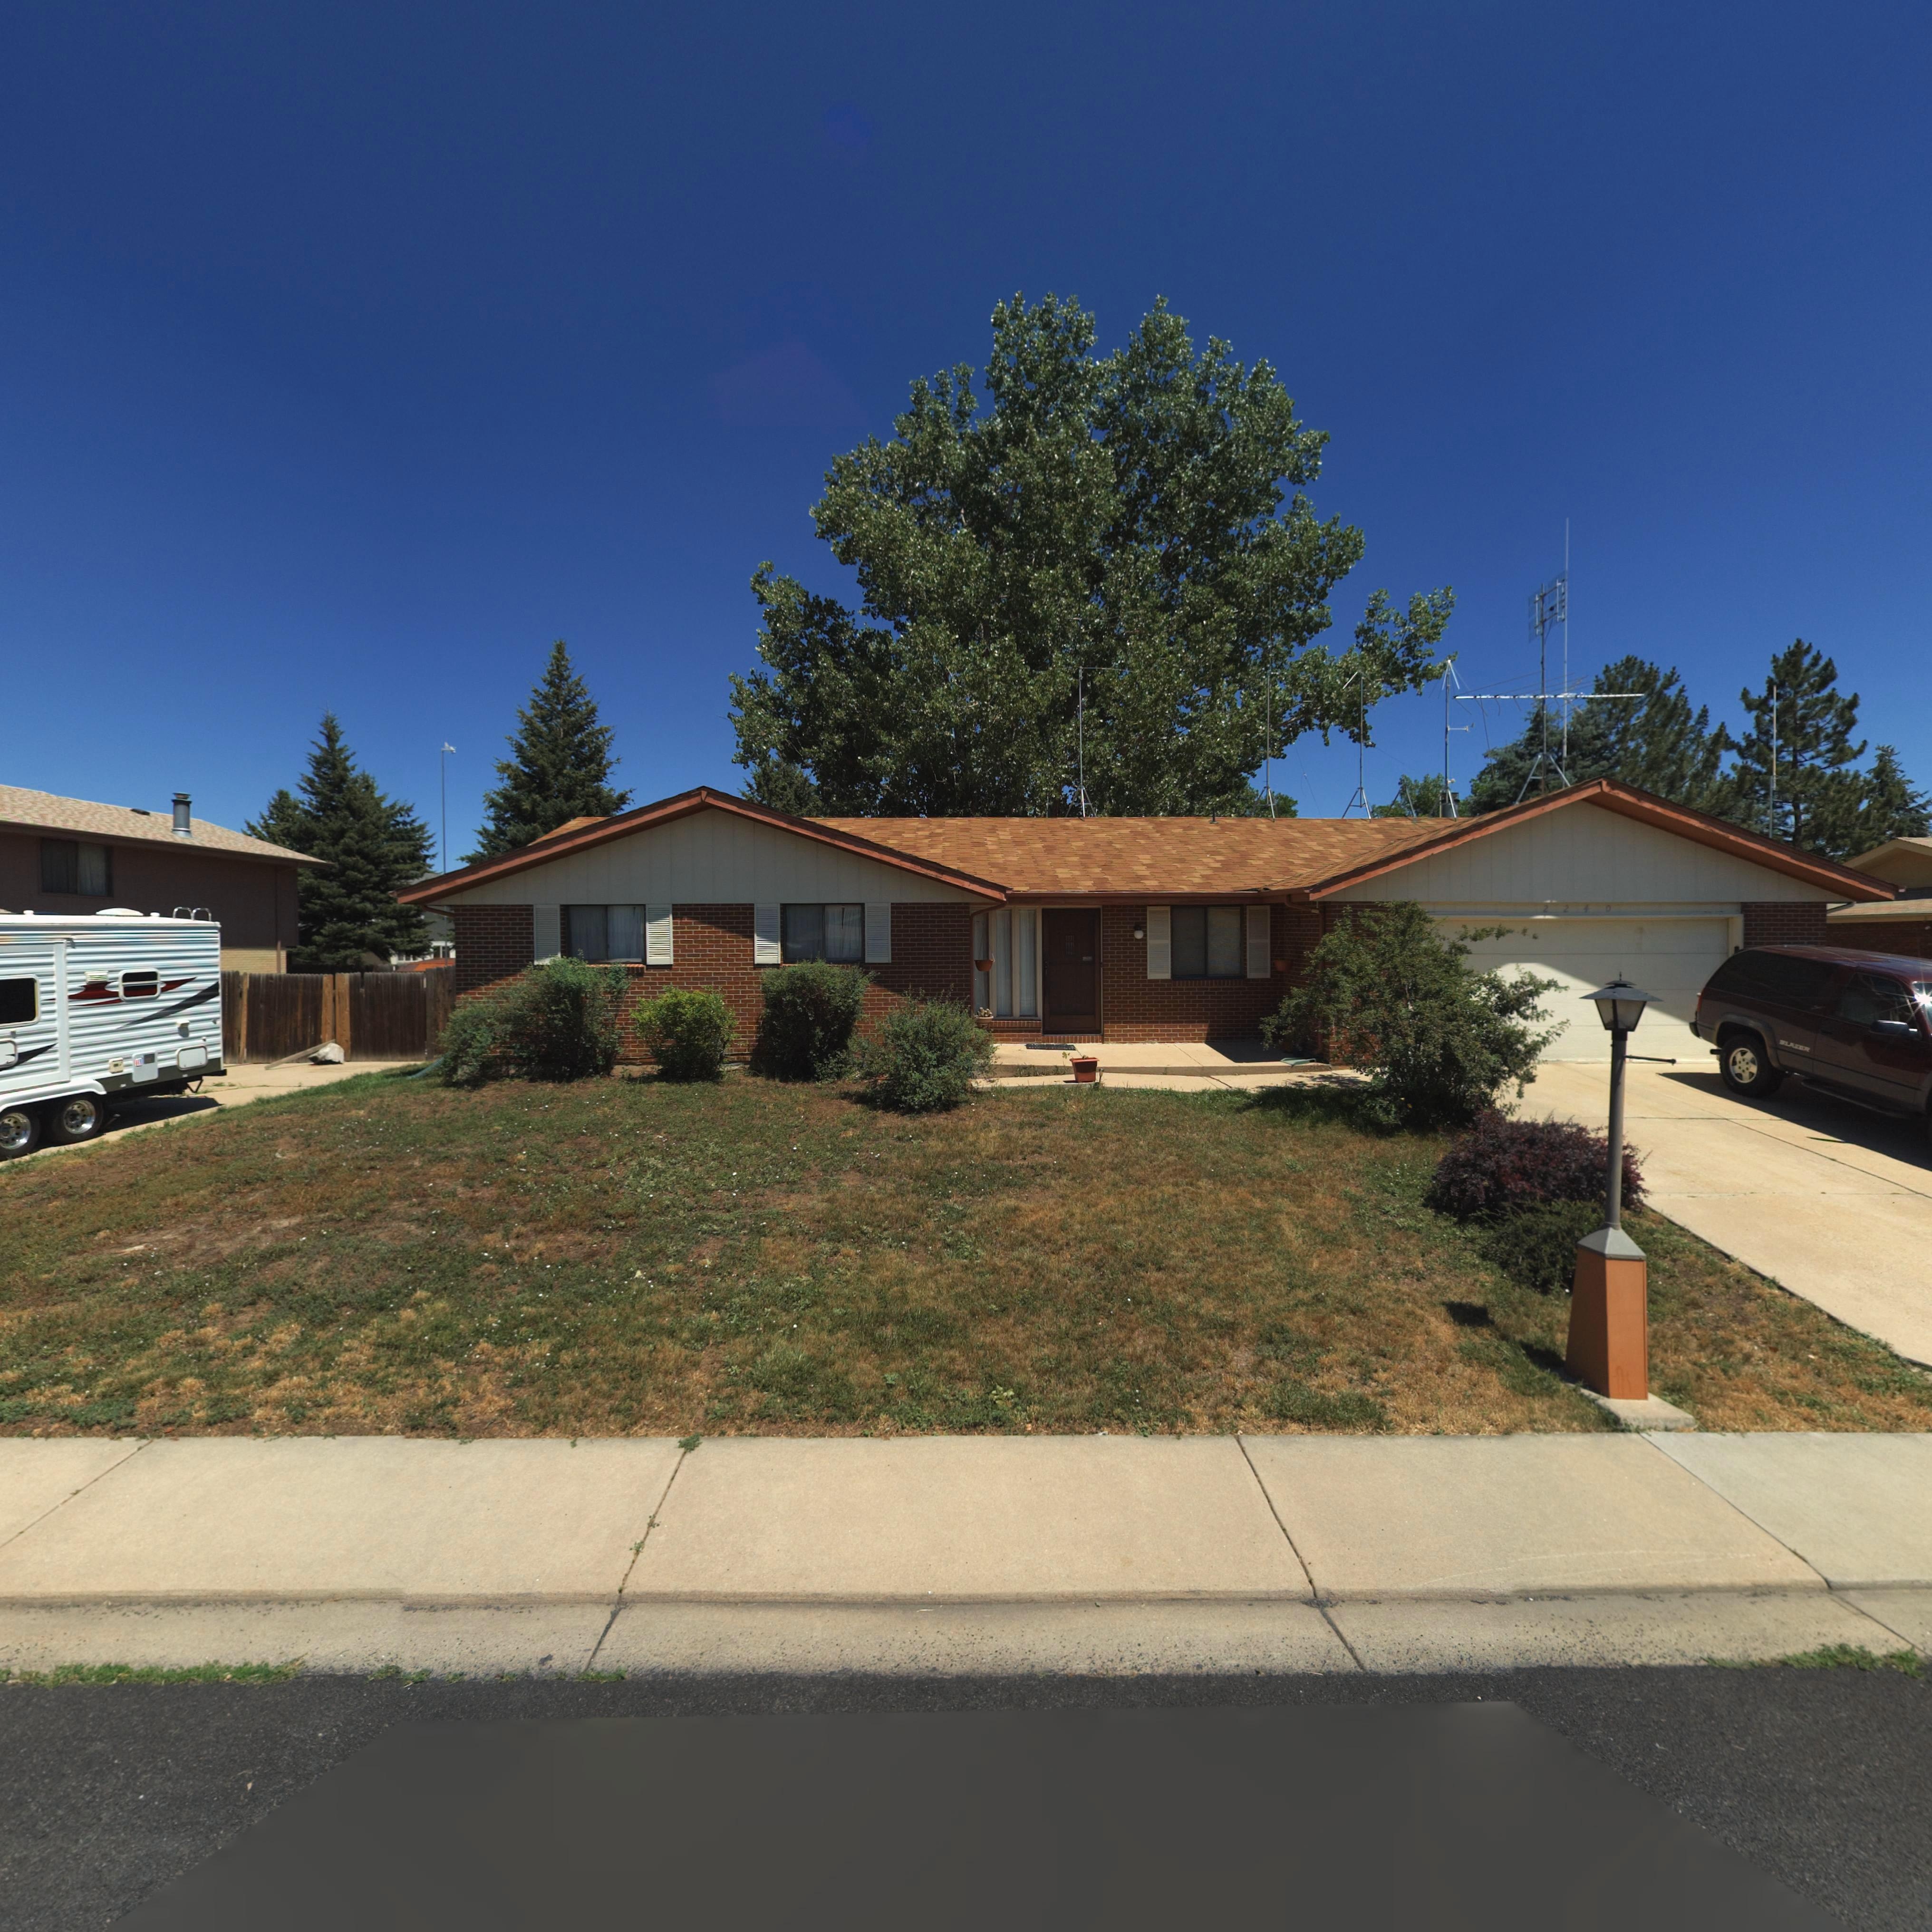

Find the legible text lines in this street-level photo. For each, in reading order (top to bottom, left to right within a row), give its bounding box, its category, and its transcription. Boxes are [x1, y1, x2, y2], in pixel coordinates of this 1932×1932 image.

[1543, 904, 1611, 913] StreetNumber: 2240